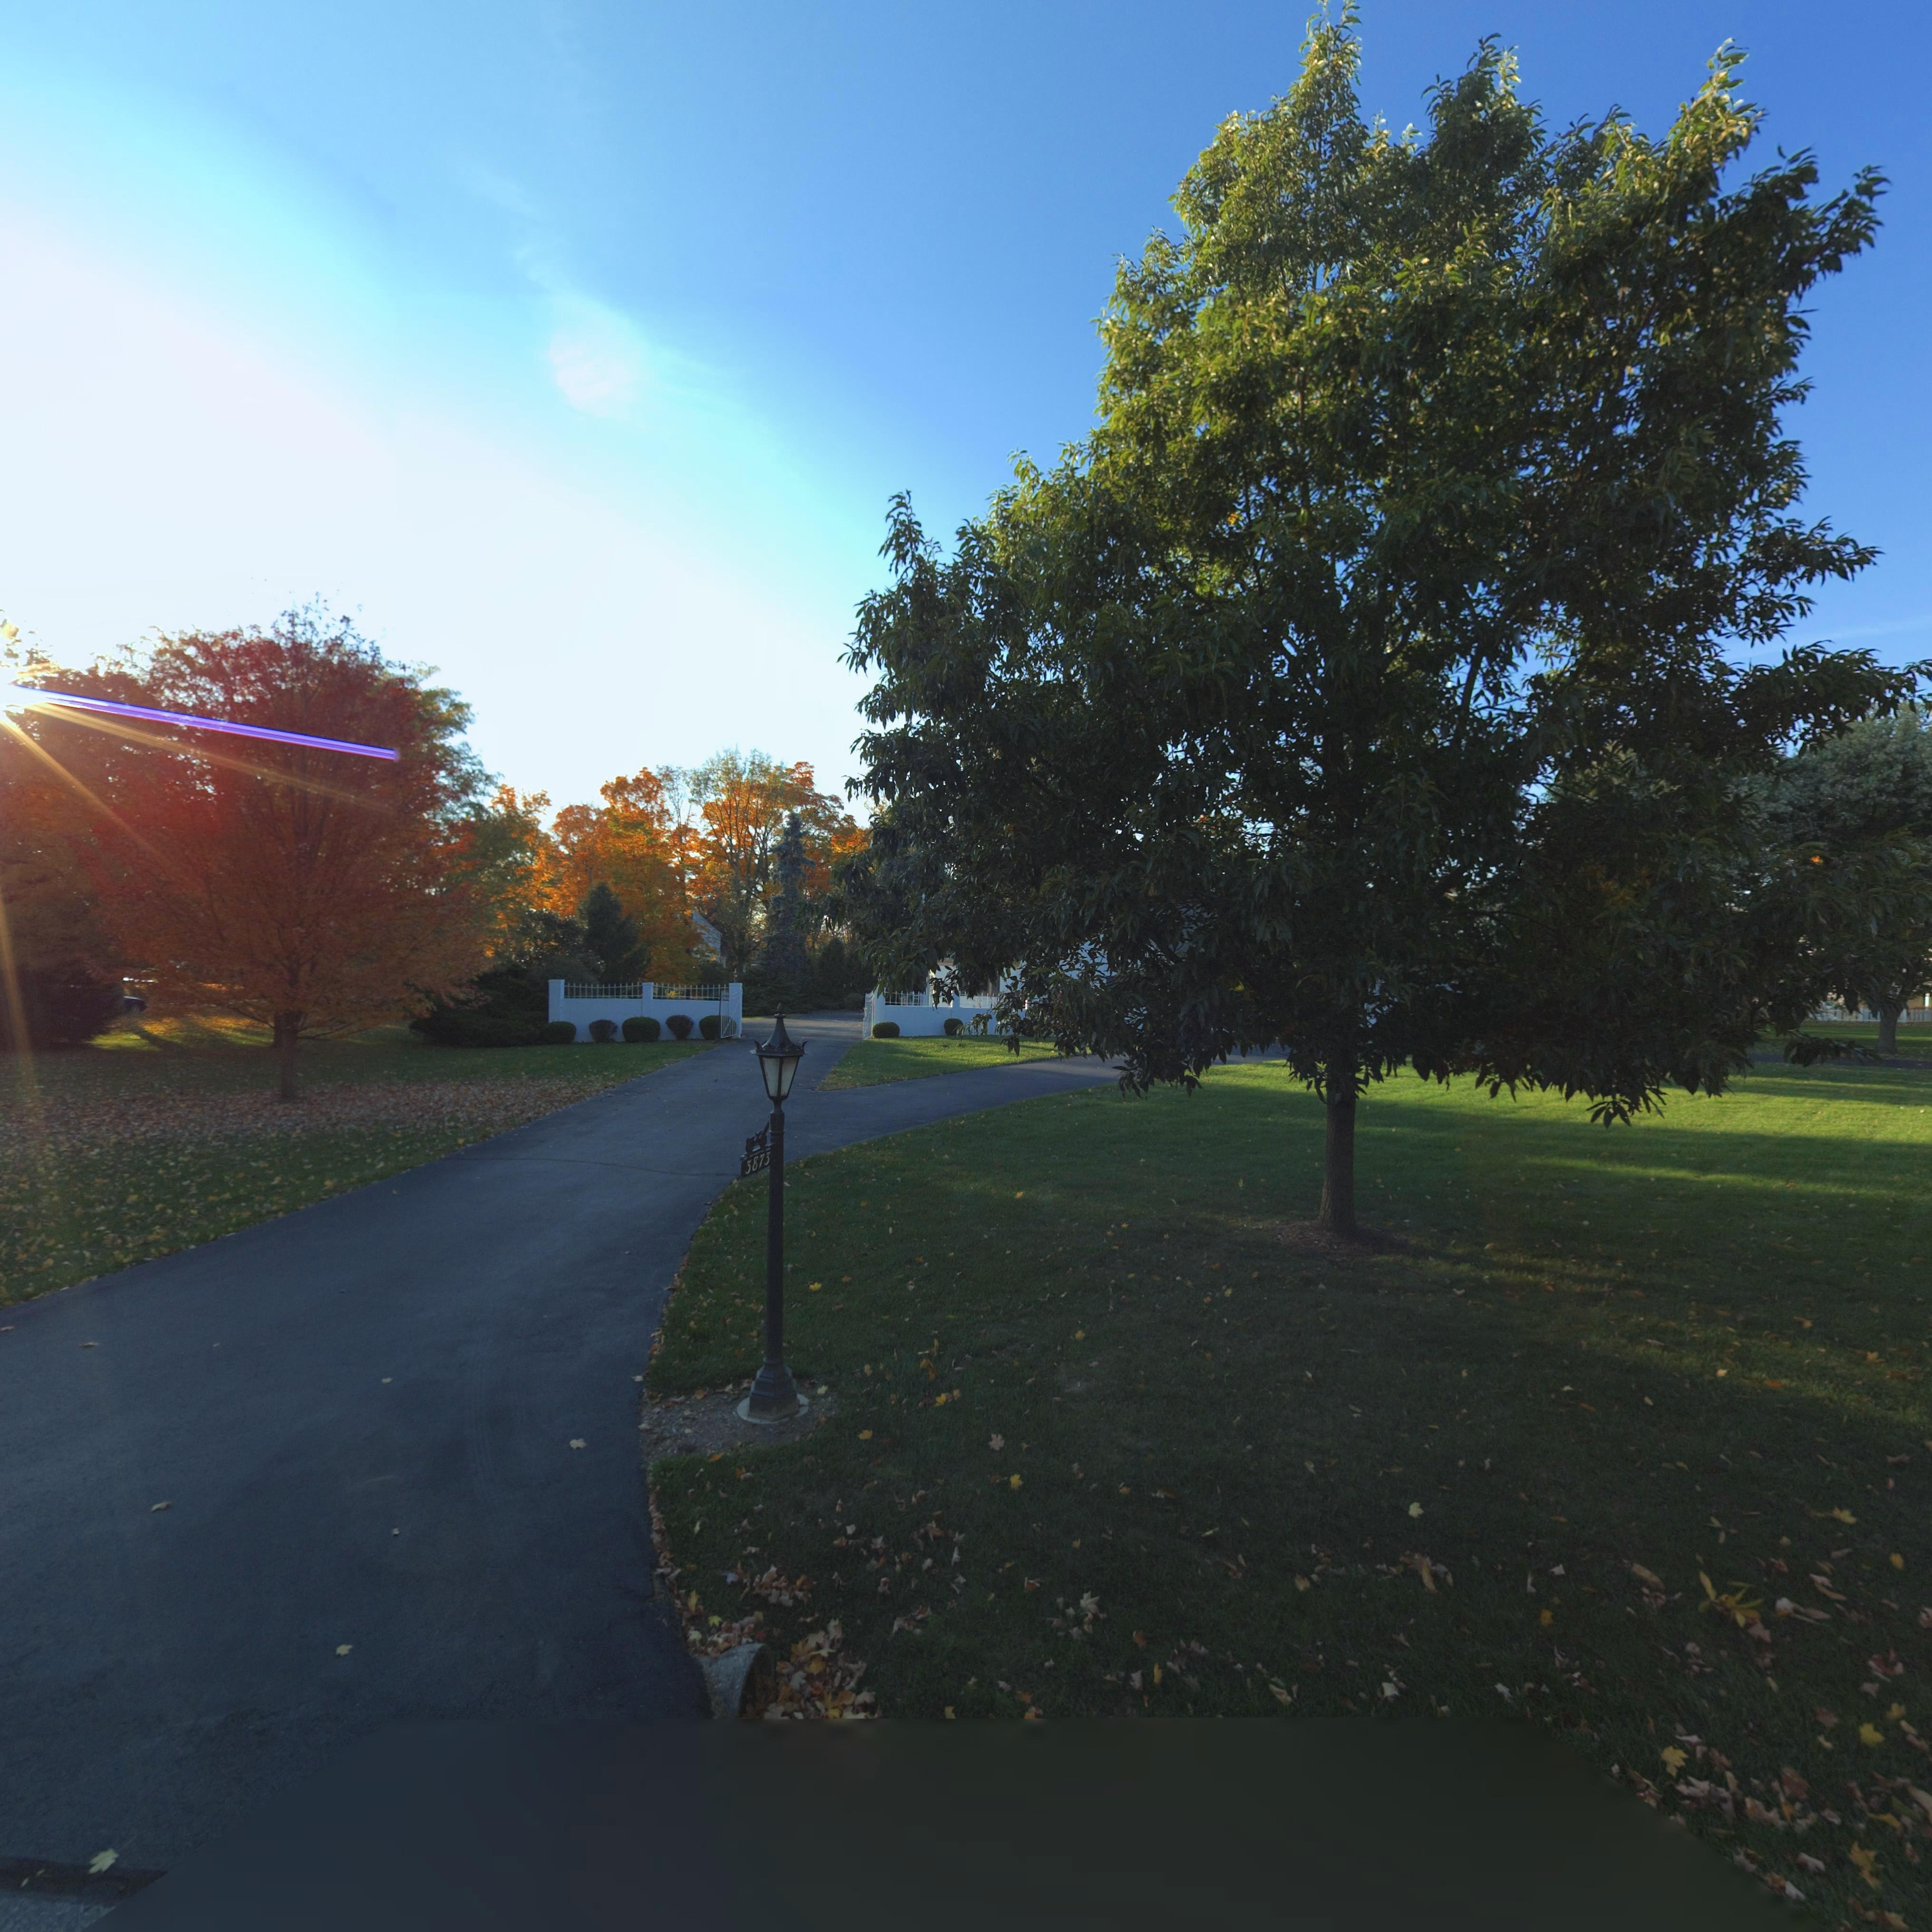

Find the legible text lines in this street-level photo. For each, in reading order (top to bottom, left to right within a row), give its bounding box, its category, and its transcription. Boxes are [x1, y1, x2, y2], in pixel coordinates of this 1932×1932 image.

[744, 1150, 772, 1177] StreetNumber: 3873